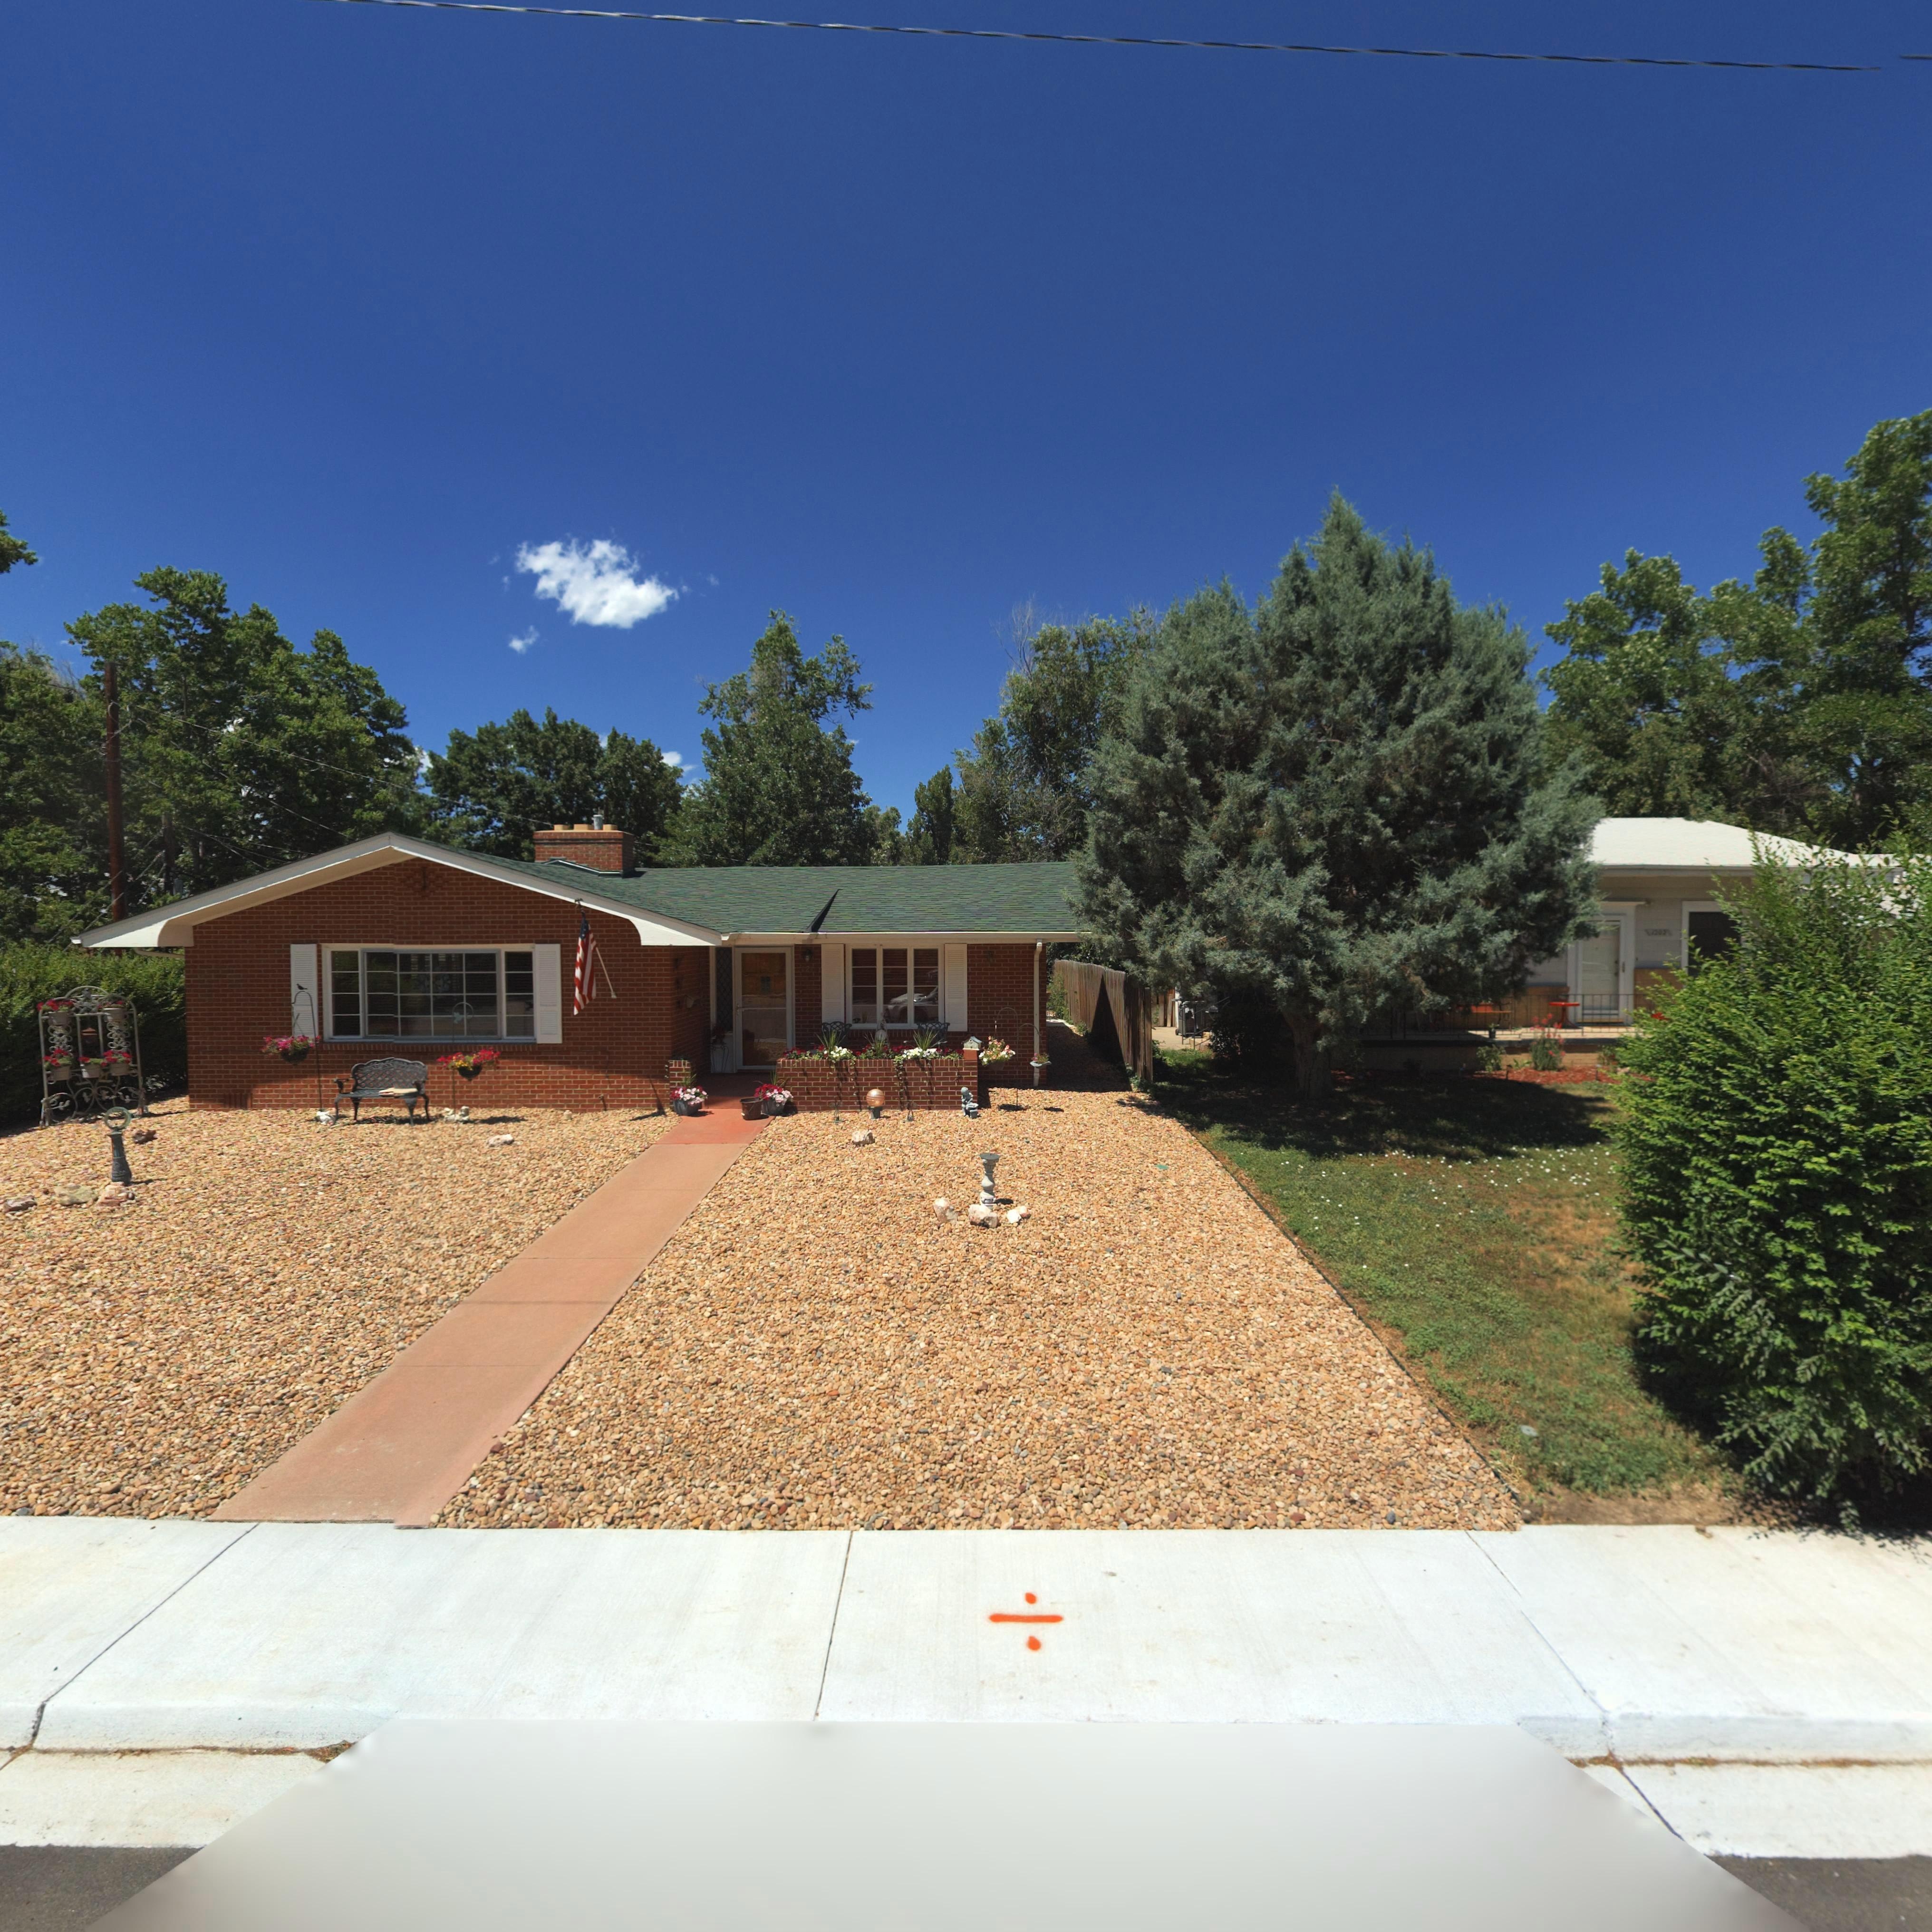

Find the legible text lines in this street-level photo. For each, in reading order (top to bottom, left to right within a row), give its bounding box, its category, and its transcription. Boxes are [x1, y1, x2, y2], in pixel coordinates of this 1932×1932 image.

[1651, 929, 1666, 935] StreetNumber: 1202
[805, 966, 810, 972] StreetNumber: 2